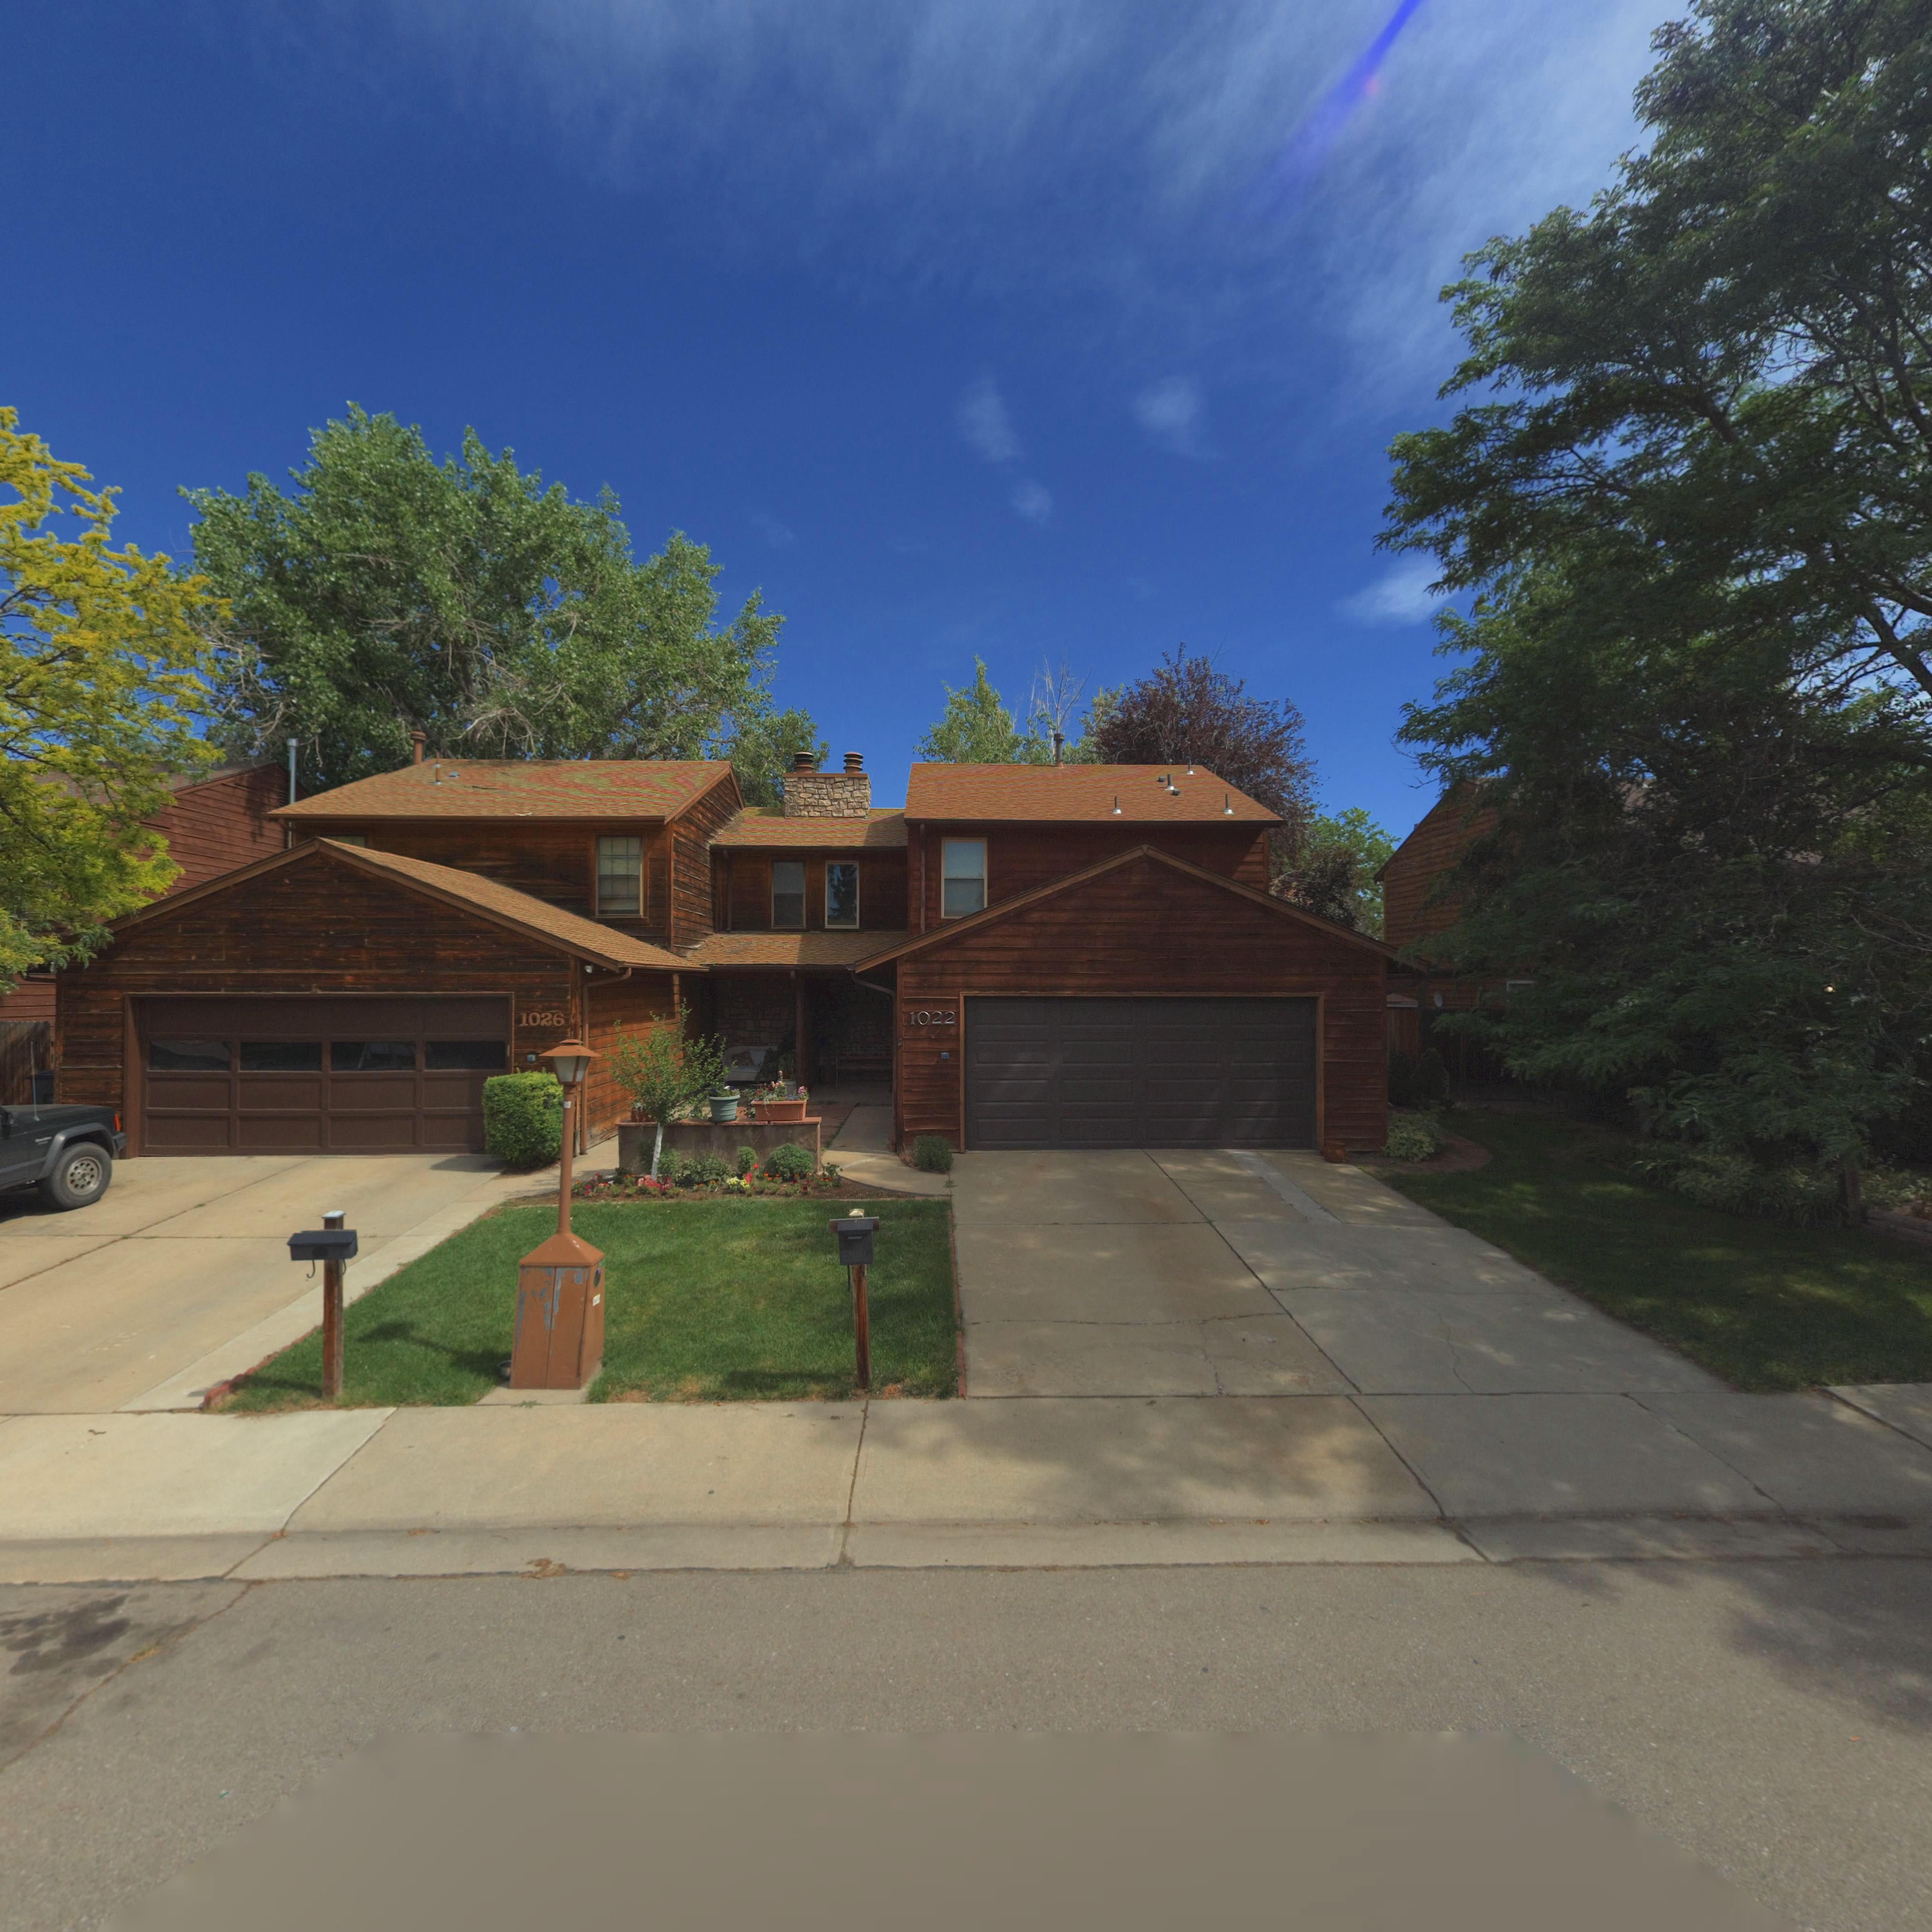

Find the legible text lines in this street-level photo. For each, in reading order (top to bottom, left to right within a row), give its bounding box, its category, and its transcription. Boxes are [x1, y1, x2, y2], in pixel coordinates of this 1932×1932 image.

[520, 1012, 564, 1026] StreetNumber: 1026
[909, 1011, 955, 1025] StreetNumber: 1022